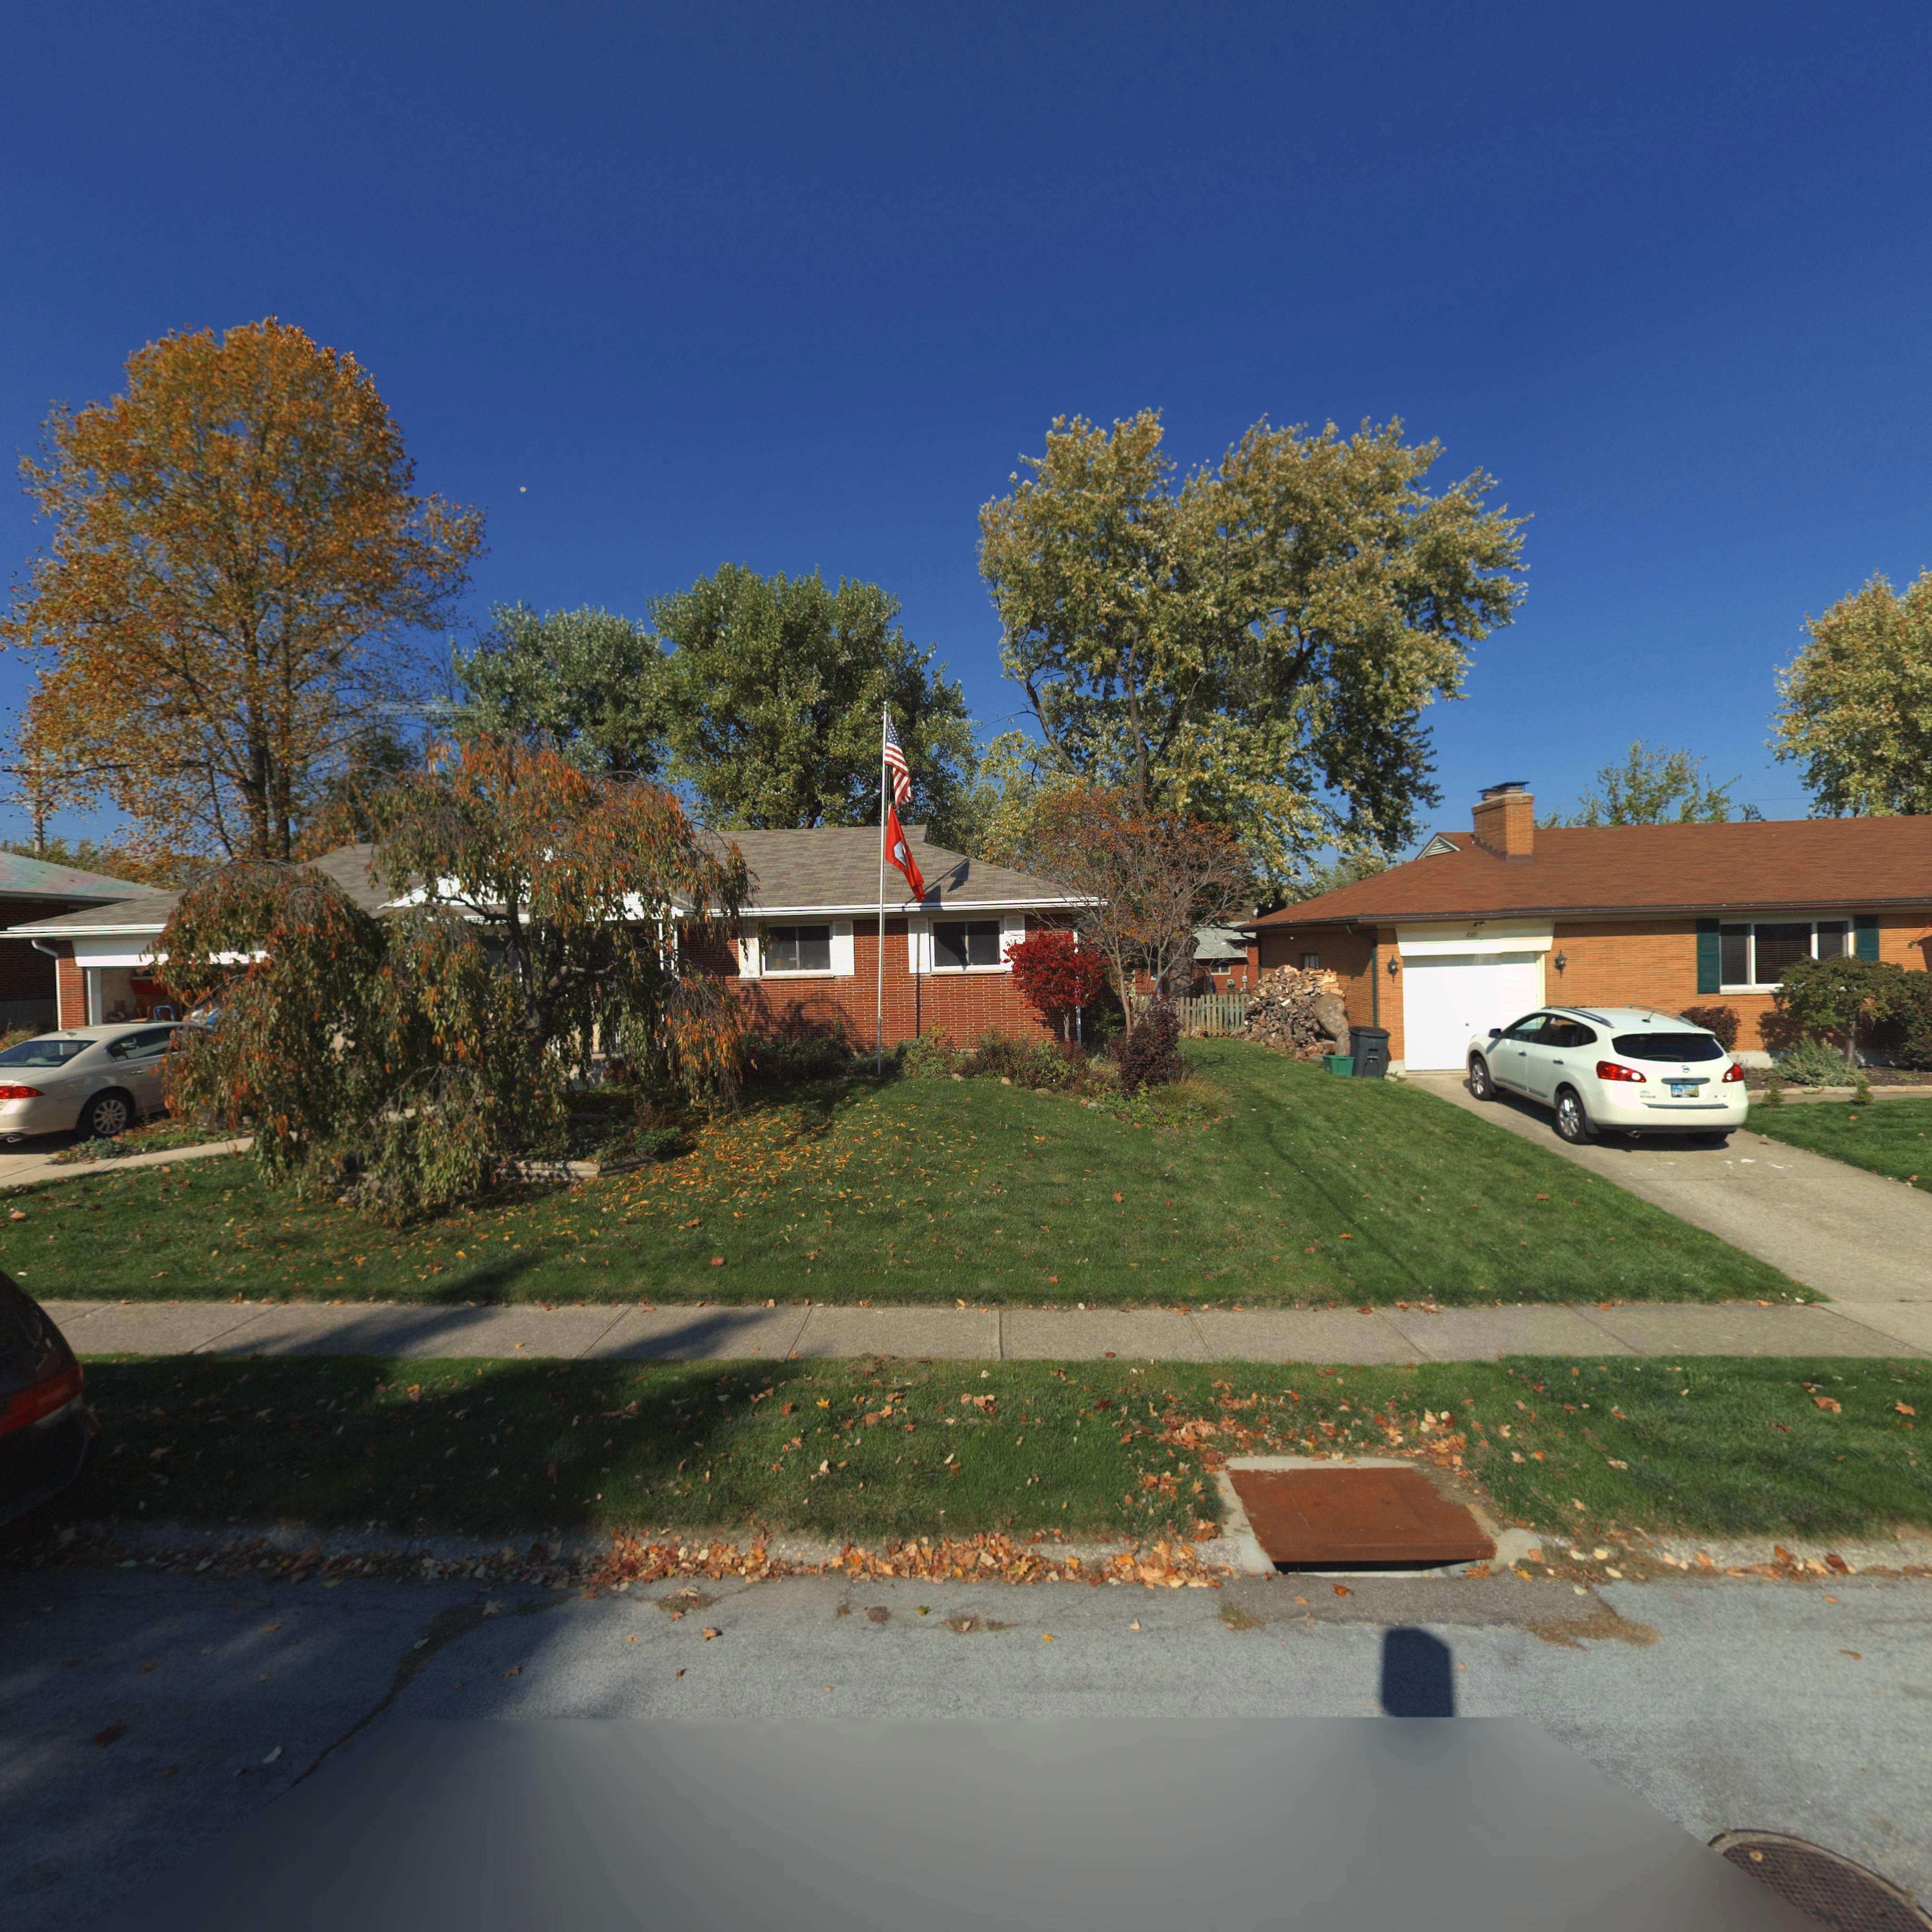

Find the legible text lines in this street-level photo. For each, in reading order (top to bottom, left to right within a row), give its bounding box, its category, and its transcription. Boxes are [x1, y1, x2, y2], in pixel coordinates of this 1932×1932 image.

[1466, 931, 1478, 938] StreetNumber: 1019